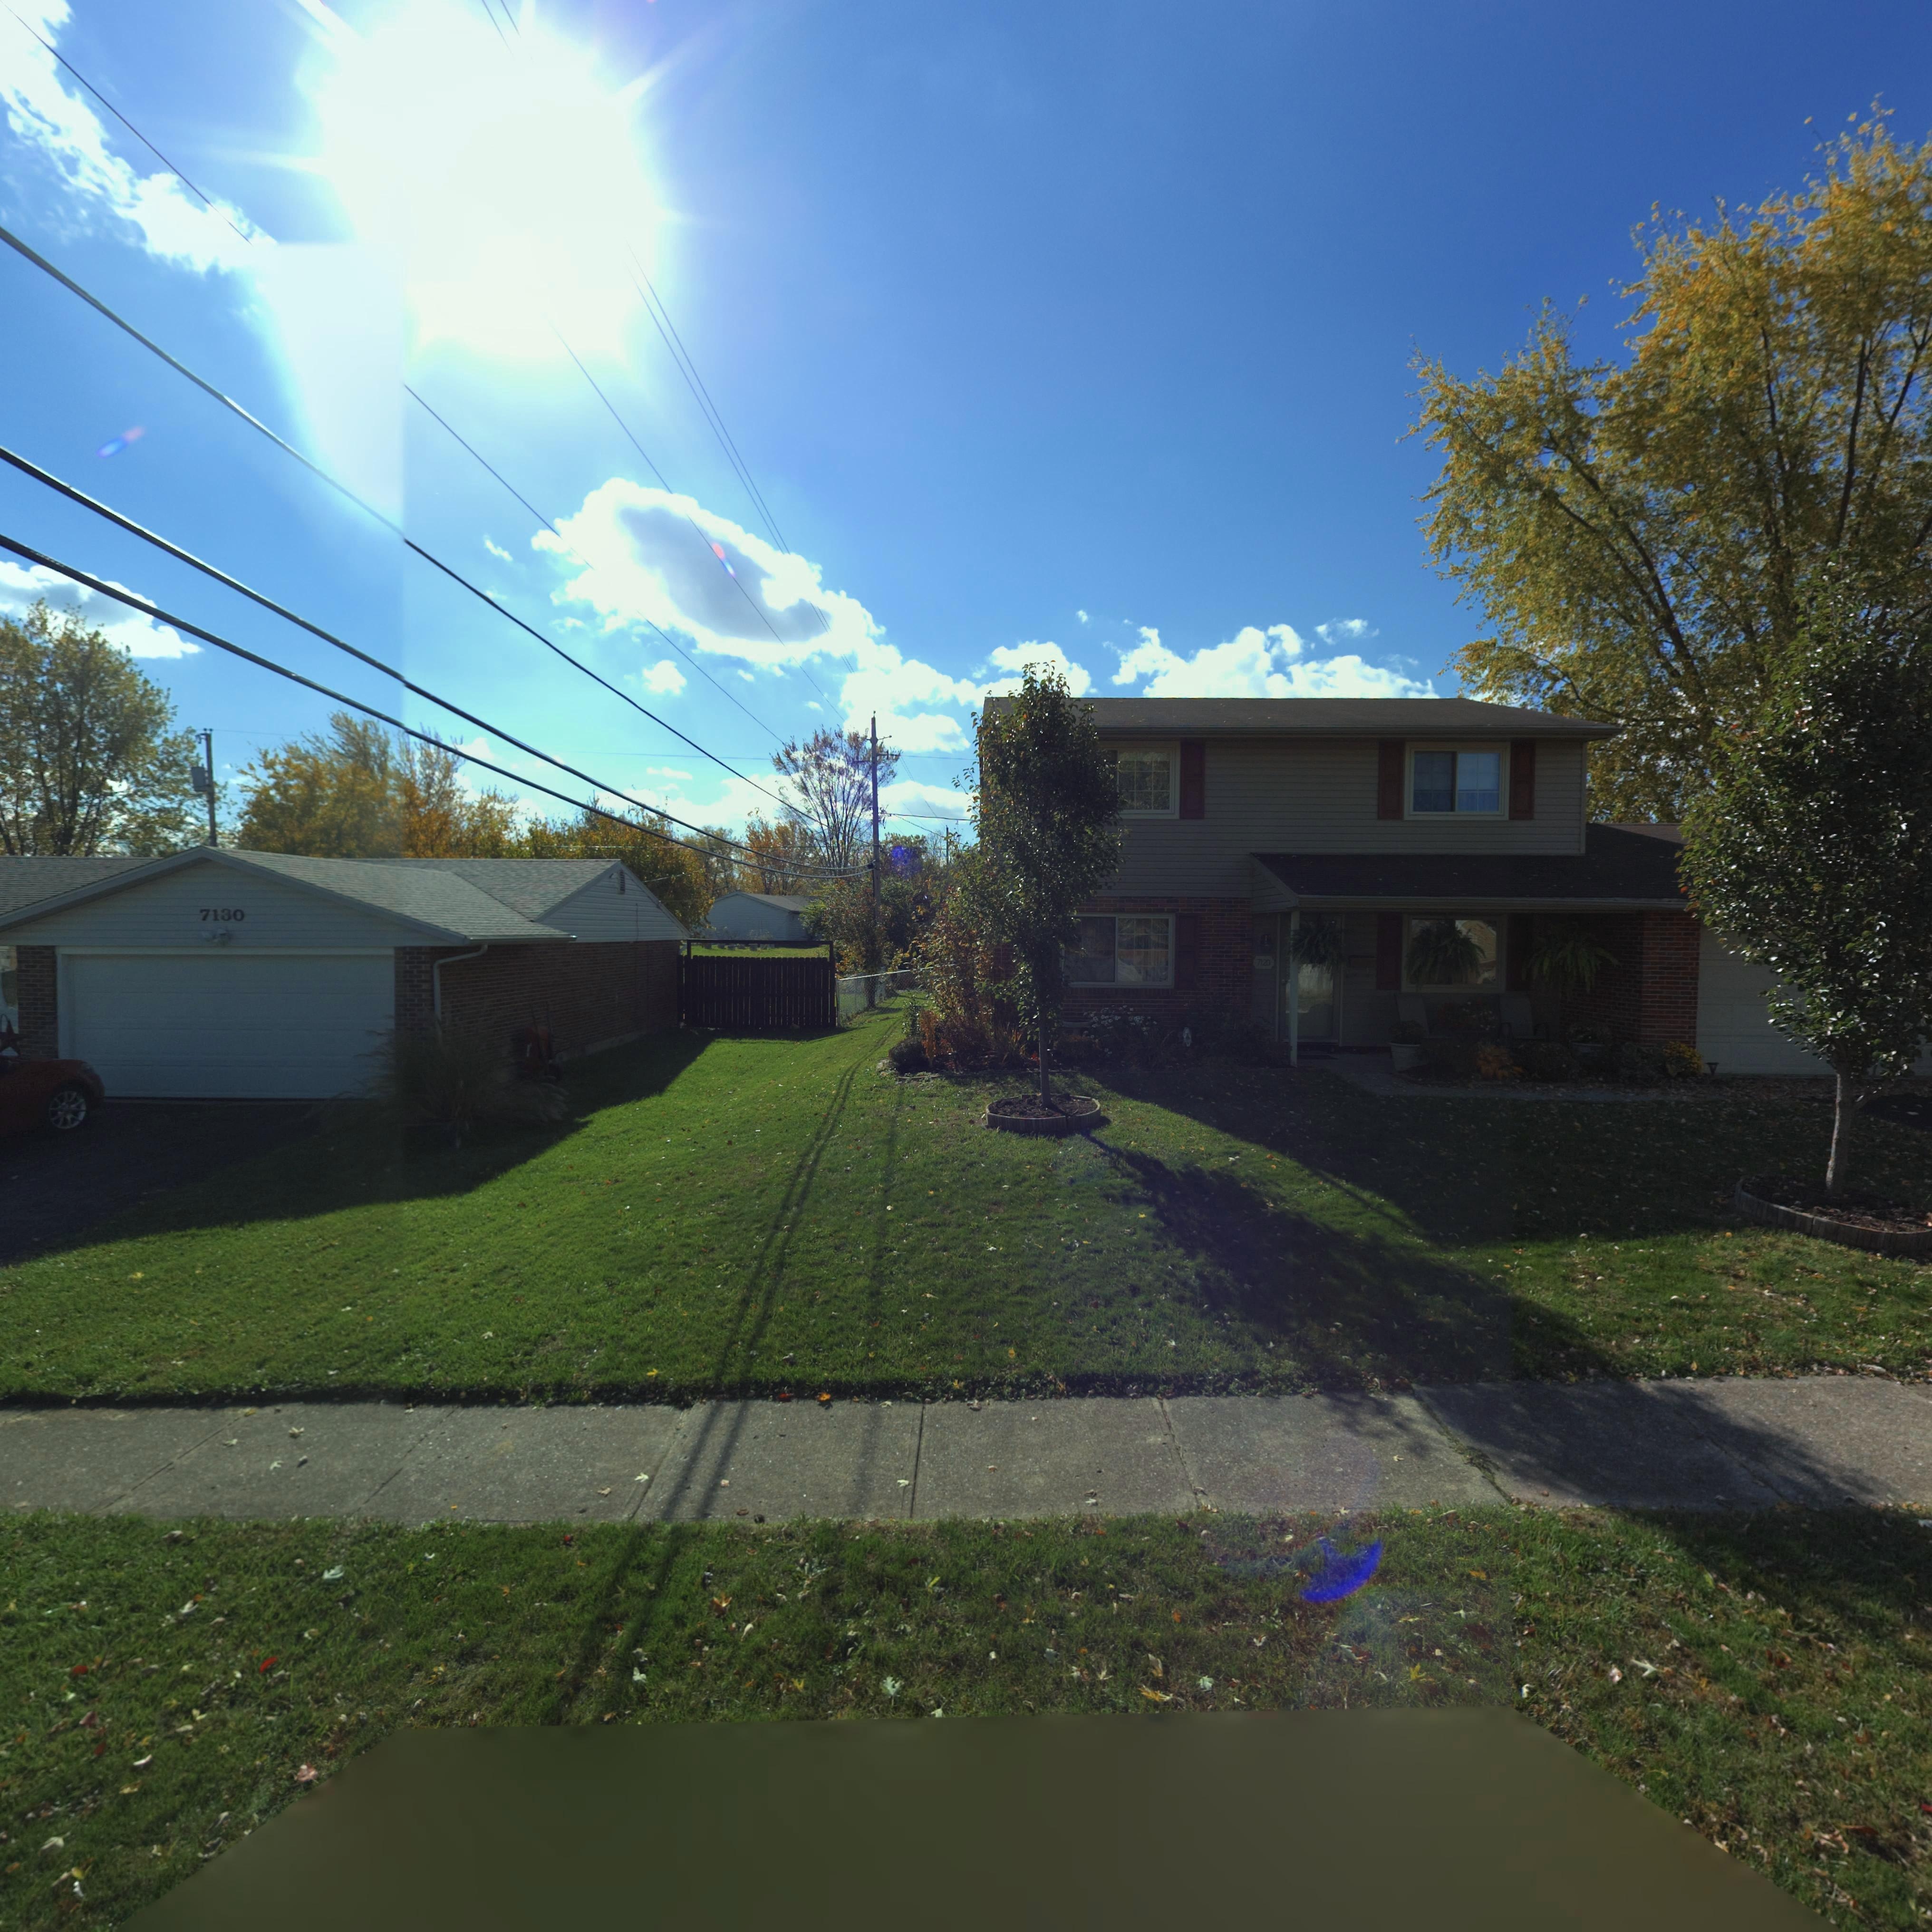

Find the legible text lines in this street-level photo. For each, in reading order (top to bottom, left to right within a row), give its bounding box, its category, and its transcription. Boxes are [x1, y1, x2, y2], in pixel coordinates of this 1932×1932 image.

[198, 908, 246, 923] StreetNumber: 7130
[1256, 958, 1272, 967] StreetNumber: 7120